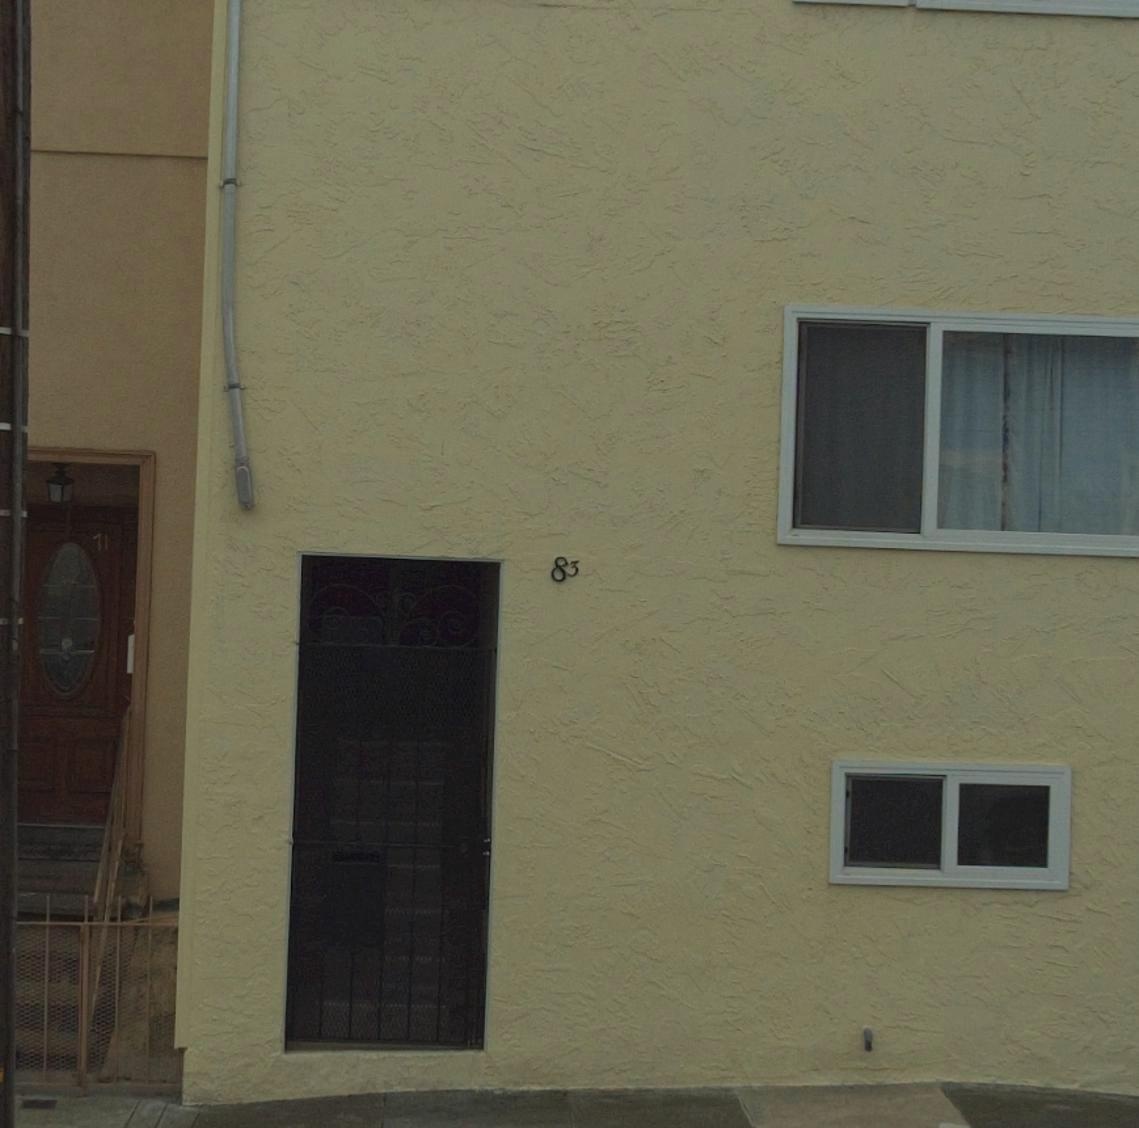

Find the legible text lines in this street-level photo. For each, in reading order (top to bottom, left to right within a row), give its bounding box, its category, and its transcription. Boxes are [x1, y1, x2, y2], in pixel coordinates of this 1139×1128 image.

[90, 532, 111, 552] StreetNumber: 71
[550, 555, 580, 585] StreetNumber: 83